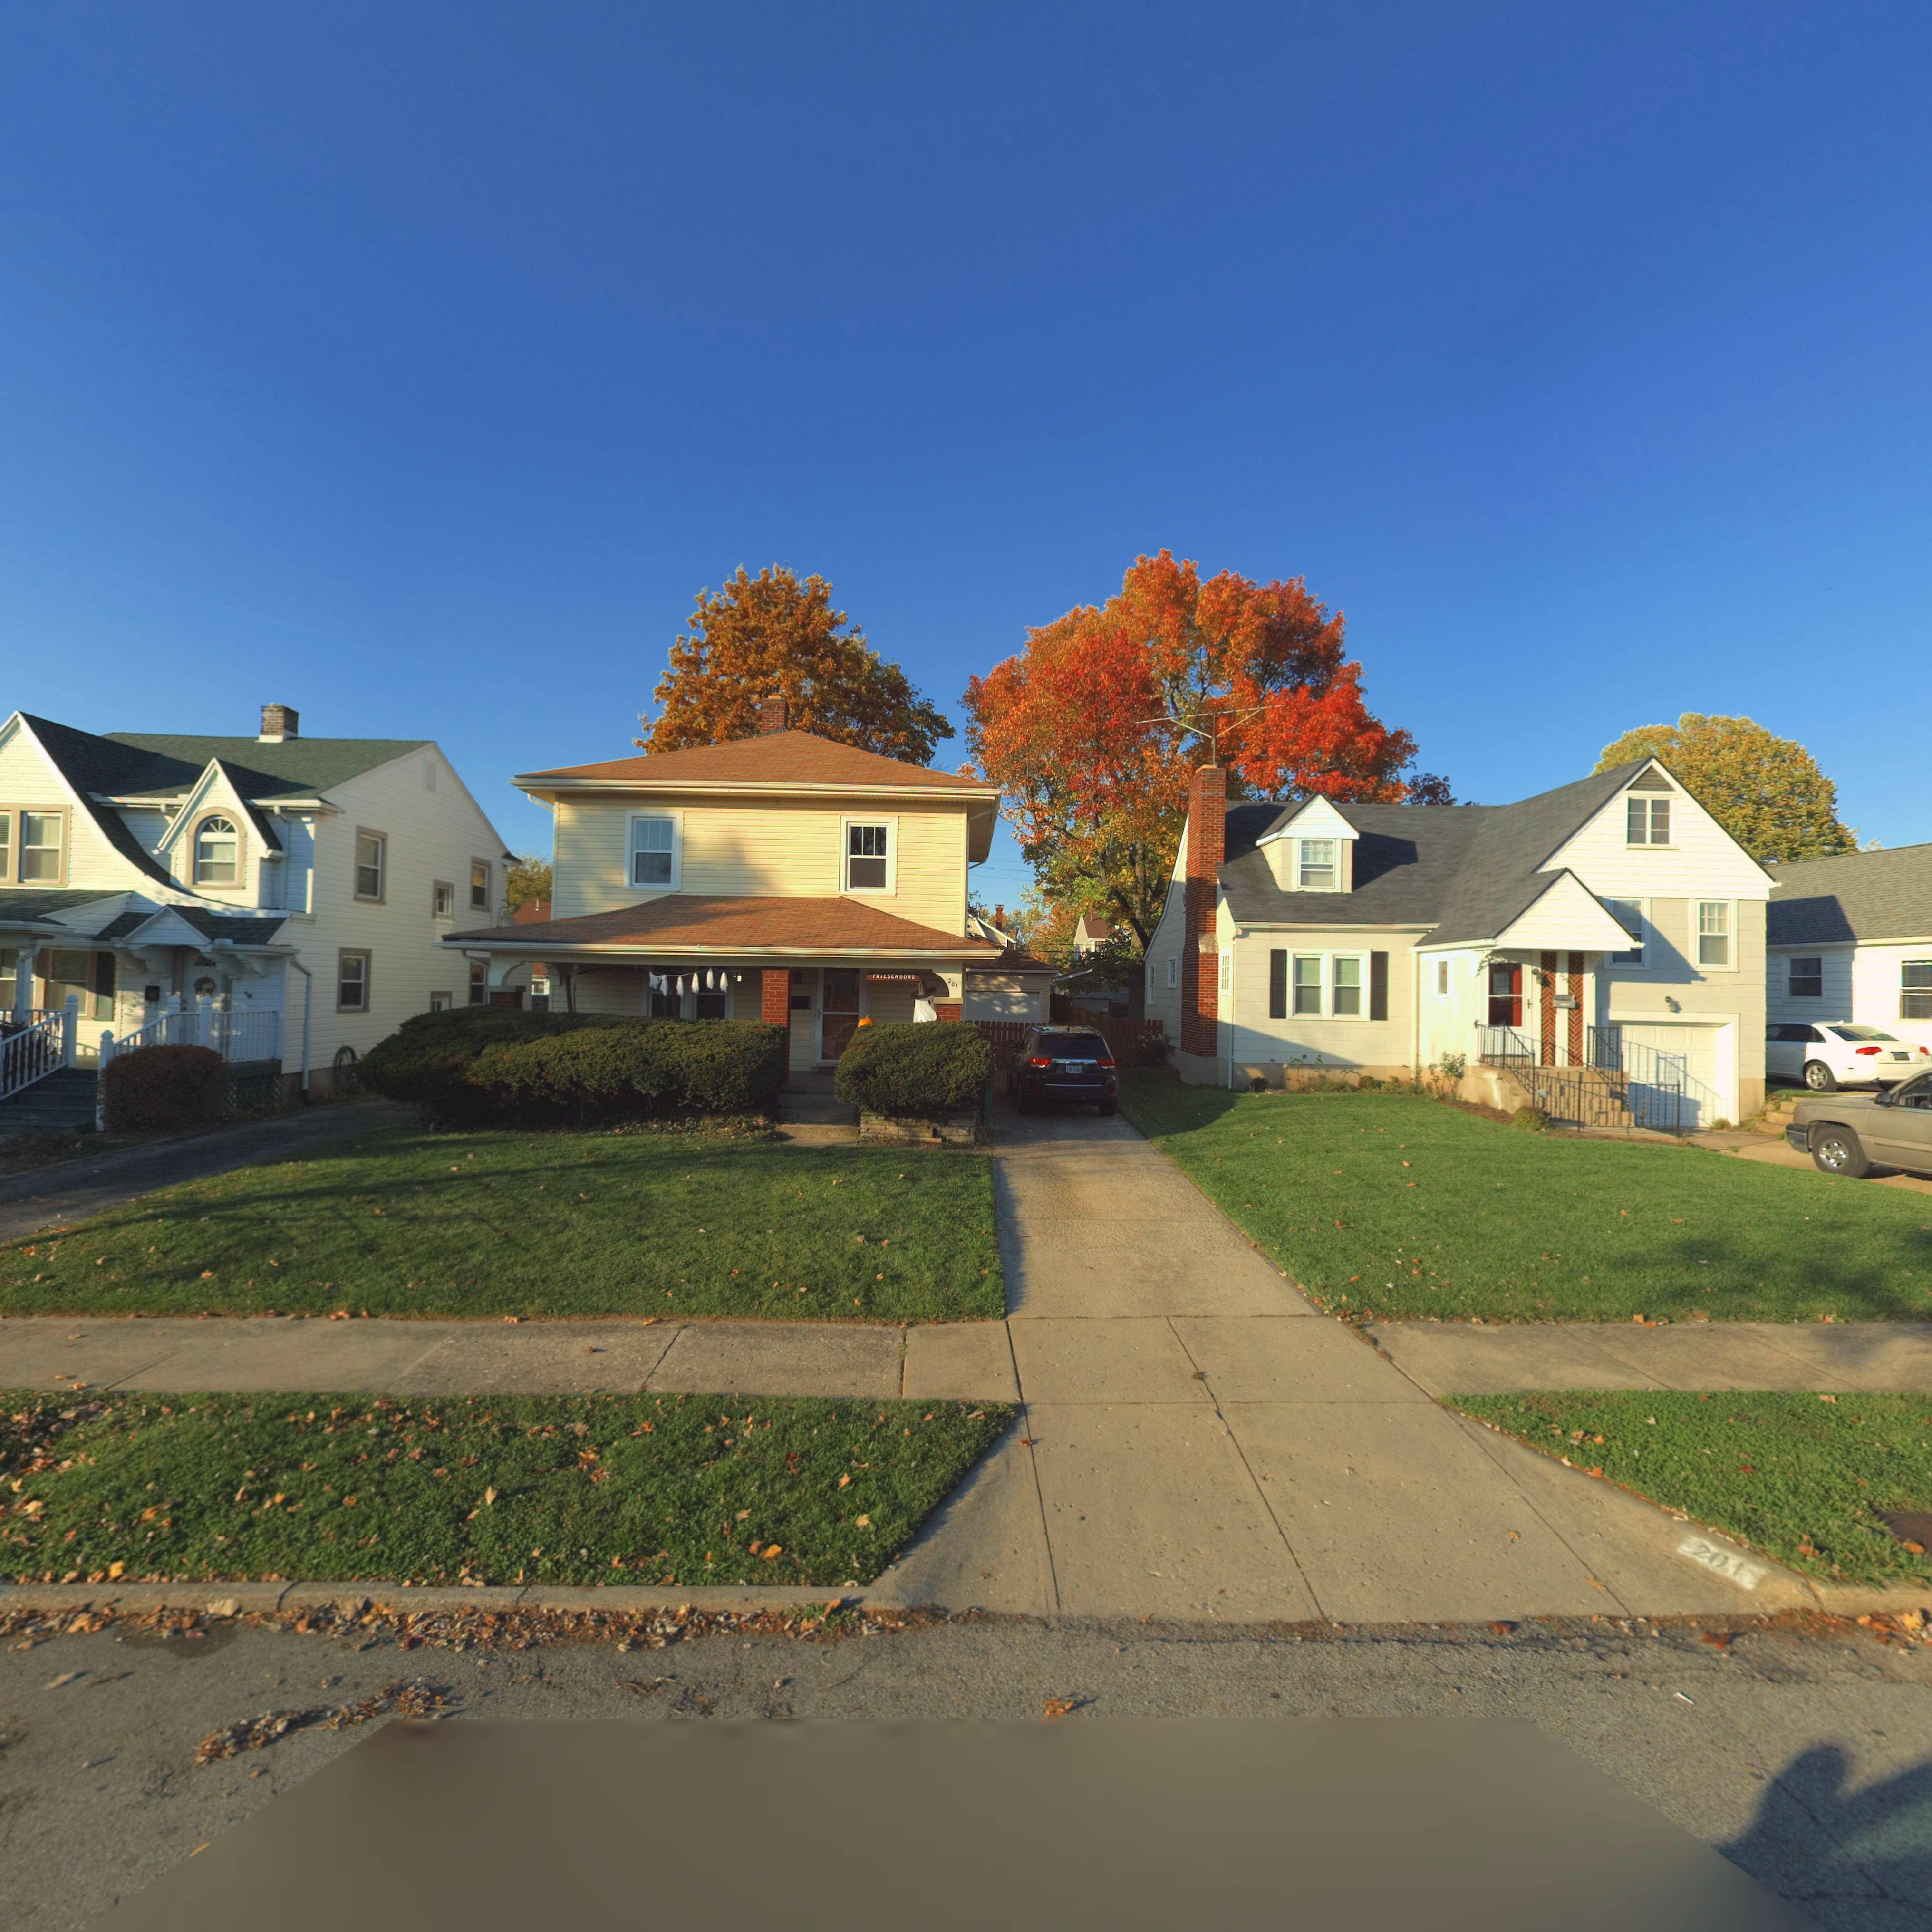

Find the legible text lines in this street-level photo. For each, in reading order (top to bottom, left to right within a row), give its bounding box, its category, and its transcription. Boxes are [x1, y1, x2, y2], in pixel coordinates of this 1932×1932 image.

[947, 977, 959, 990] StreetNumber: 201
[1559, 970, 1569, 985] StreetNumber: 205
[1689, 1540, 1748, 1579] StreetNumber: 201